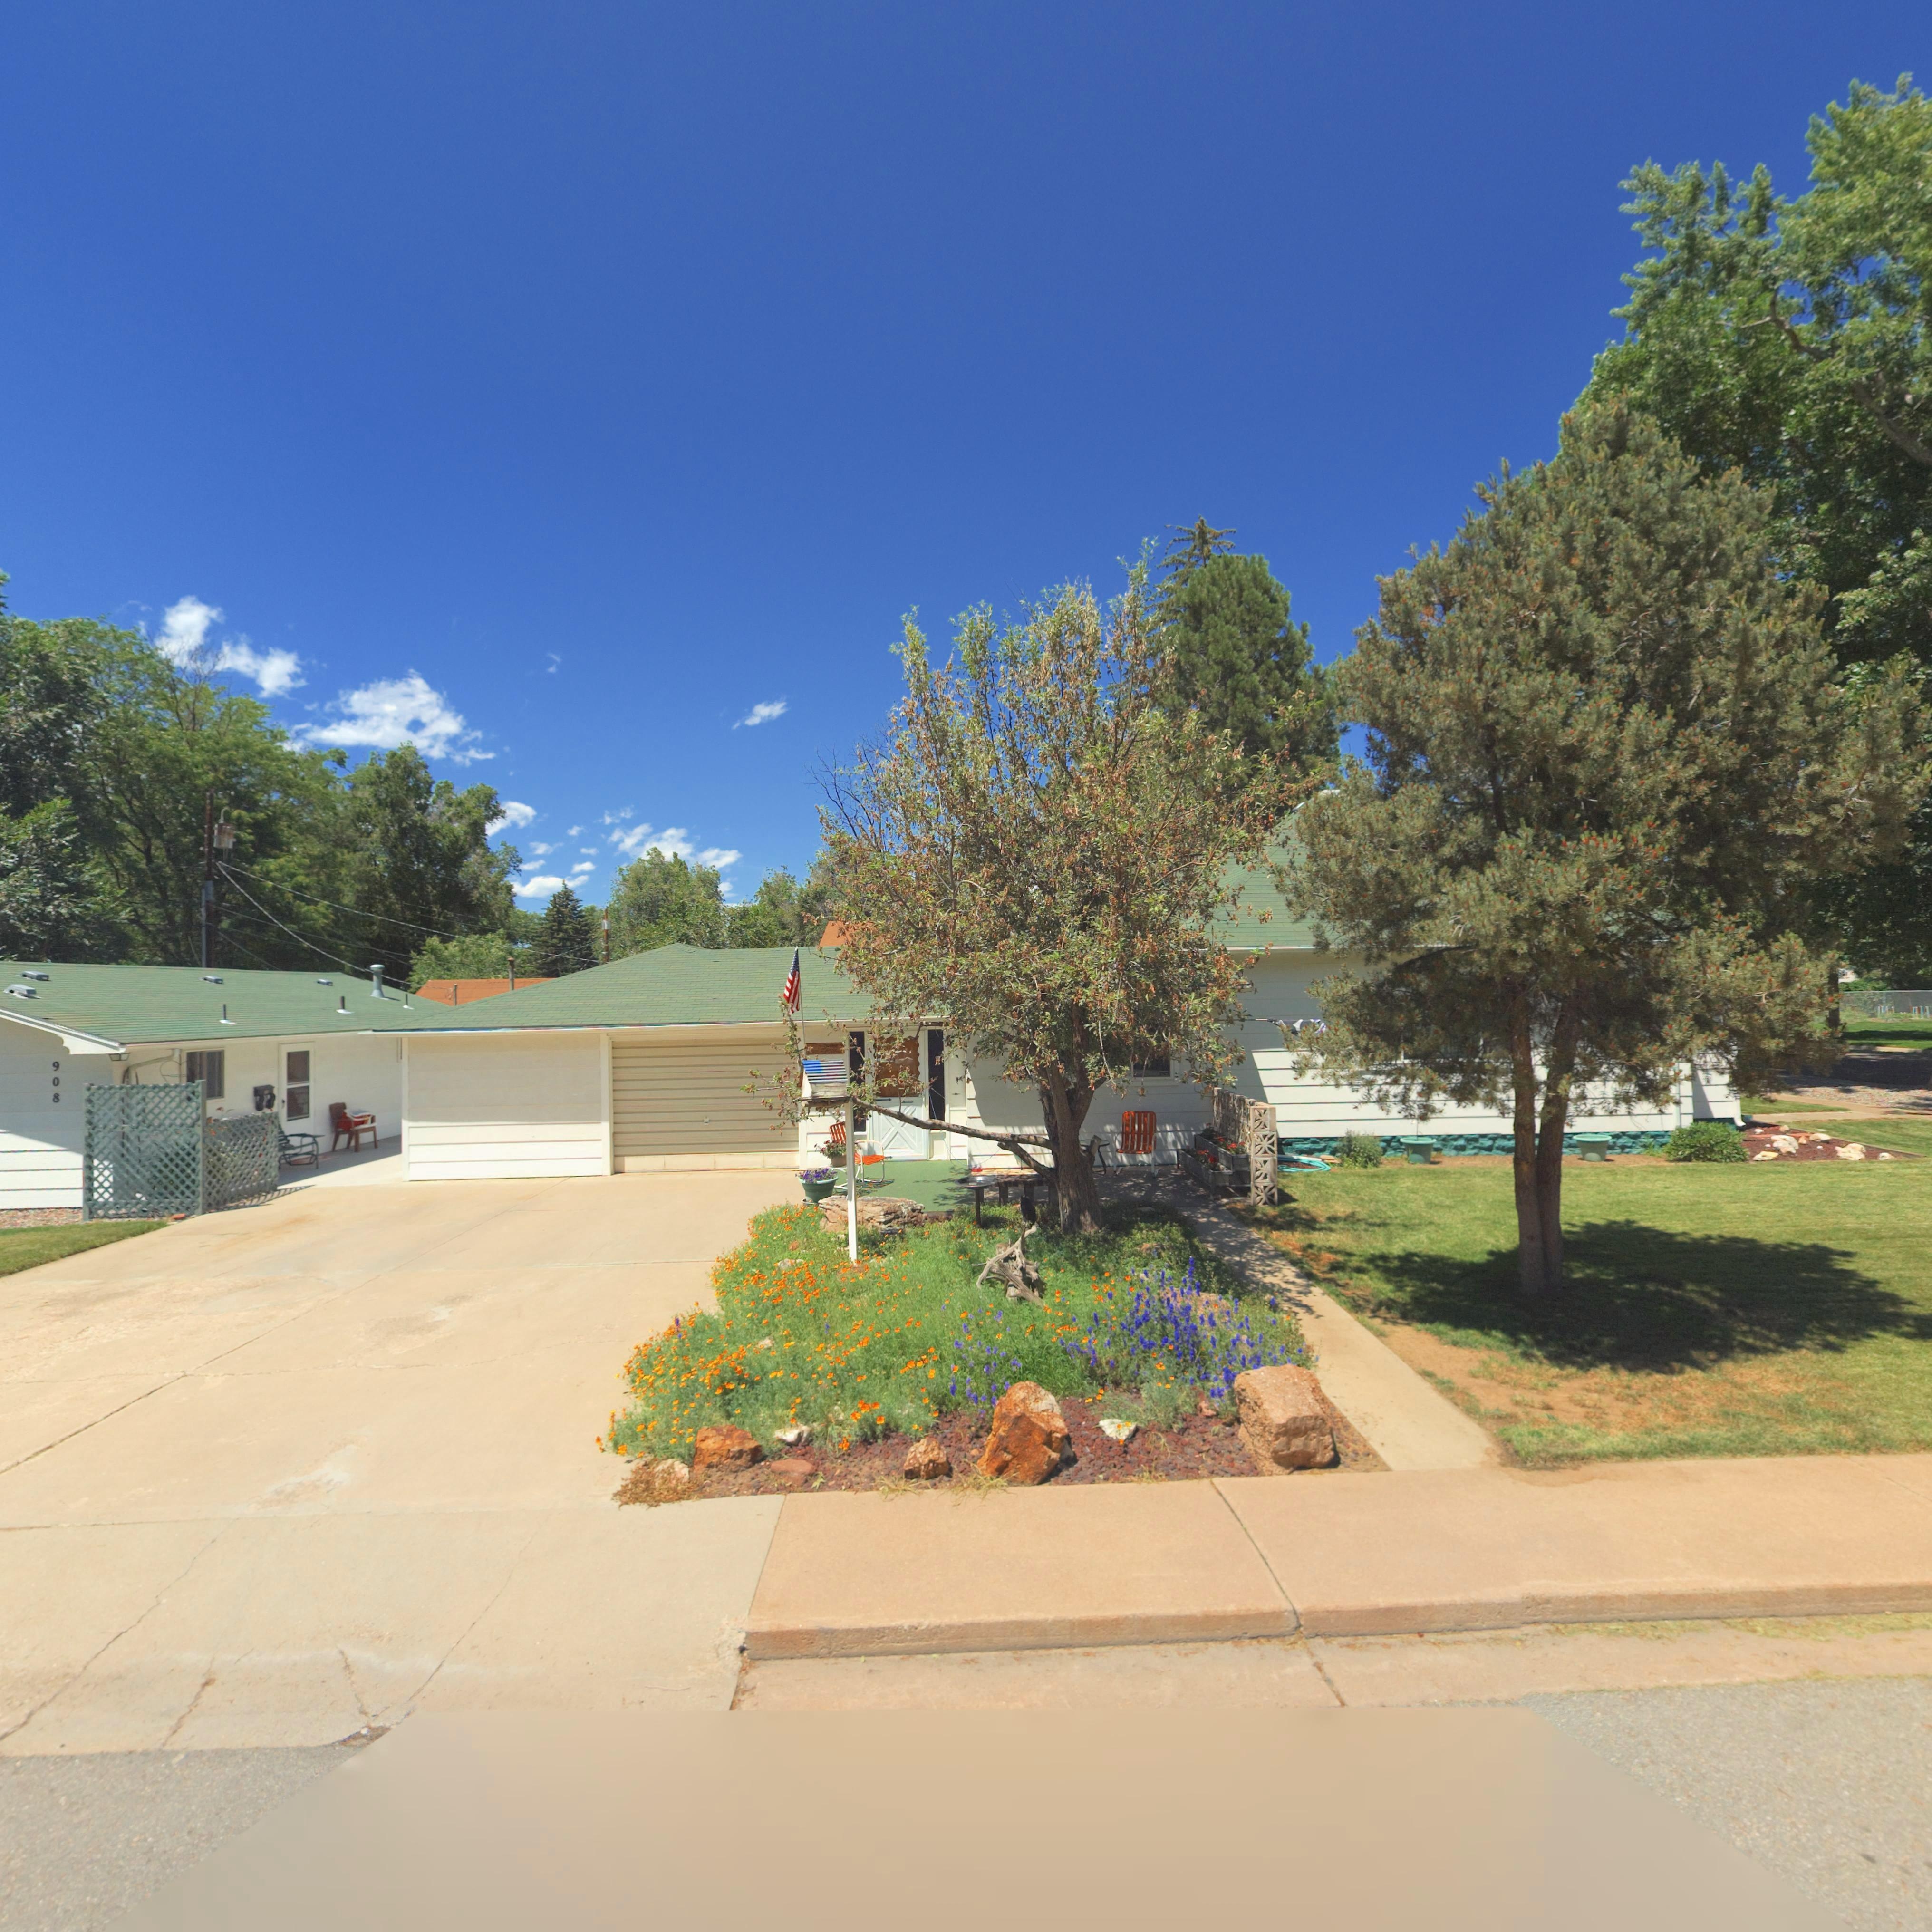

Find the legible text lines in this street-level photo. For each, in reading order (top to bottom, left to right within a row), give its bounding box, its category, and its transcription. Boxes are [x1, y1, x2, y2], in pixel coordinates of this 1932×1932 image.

[52, 1060, 59, 1103] StreetNumber: 908